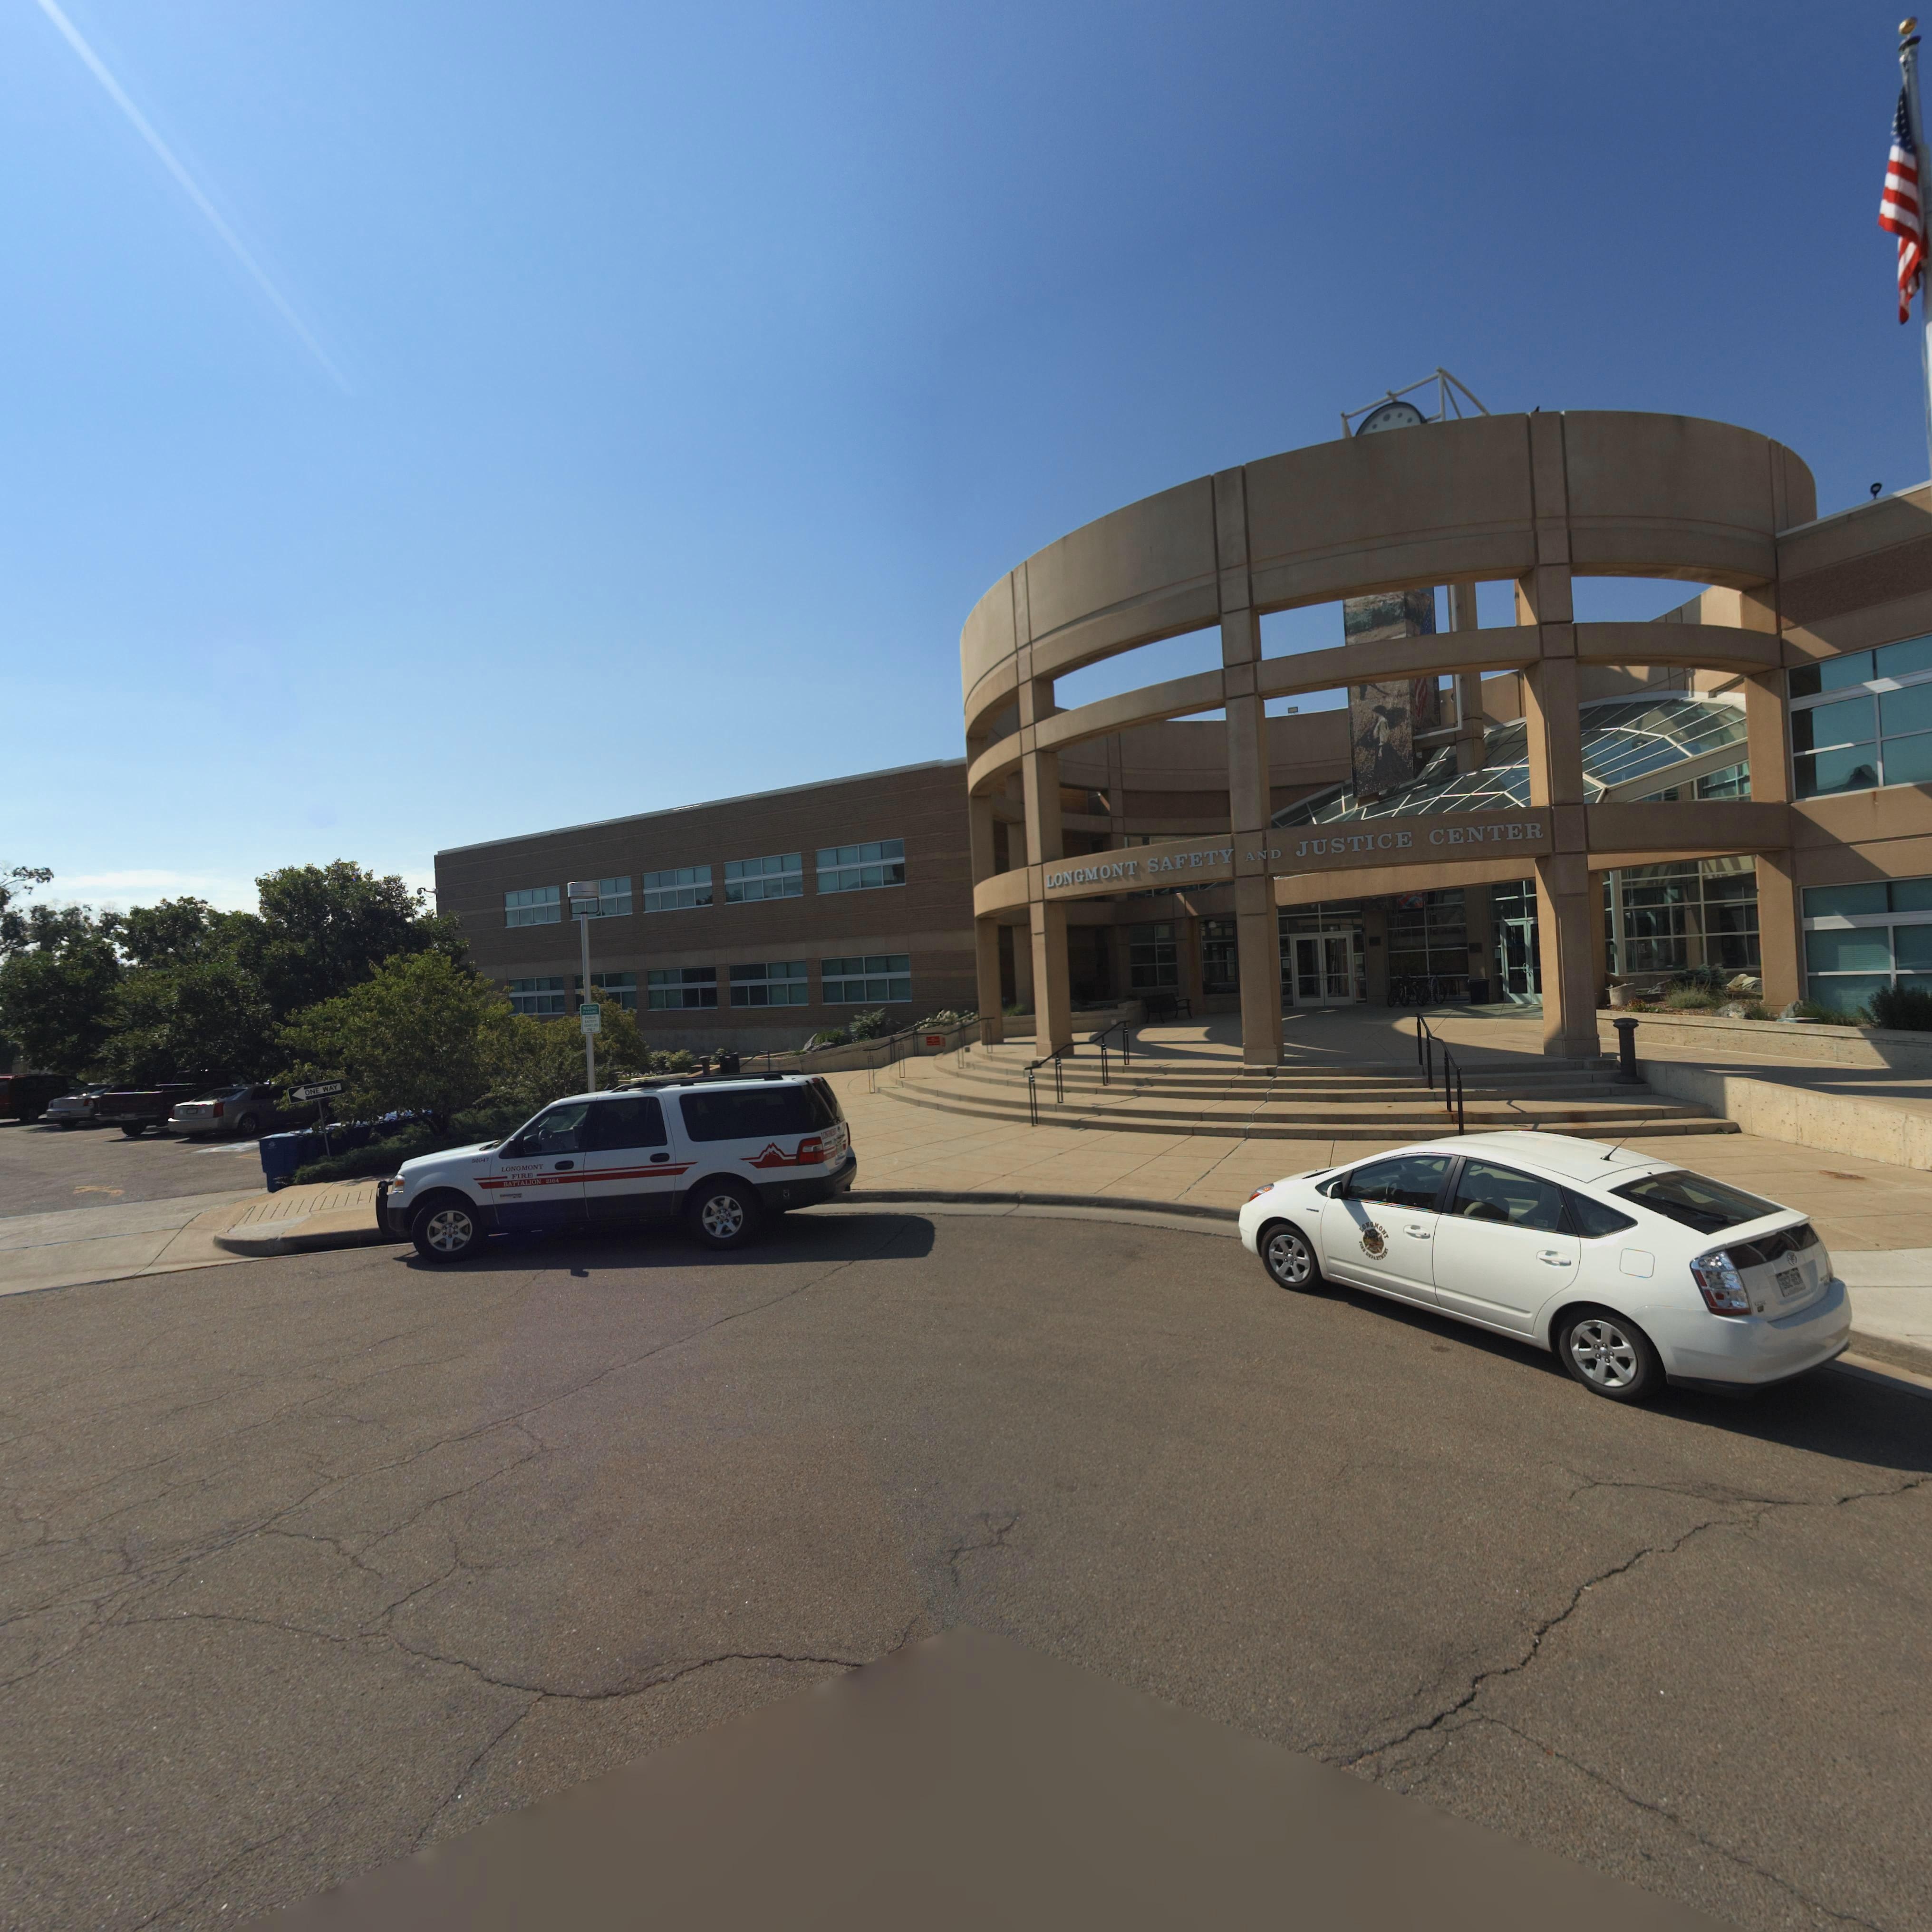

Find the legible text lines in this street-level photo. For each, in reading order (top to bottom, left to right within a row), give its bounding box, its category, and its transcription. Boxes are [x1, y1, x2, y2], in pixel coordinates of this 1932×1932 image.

[1046, 821, 1544, 888] BusinessName: LONGMONT SAFETY AND JUSTICE CENTER